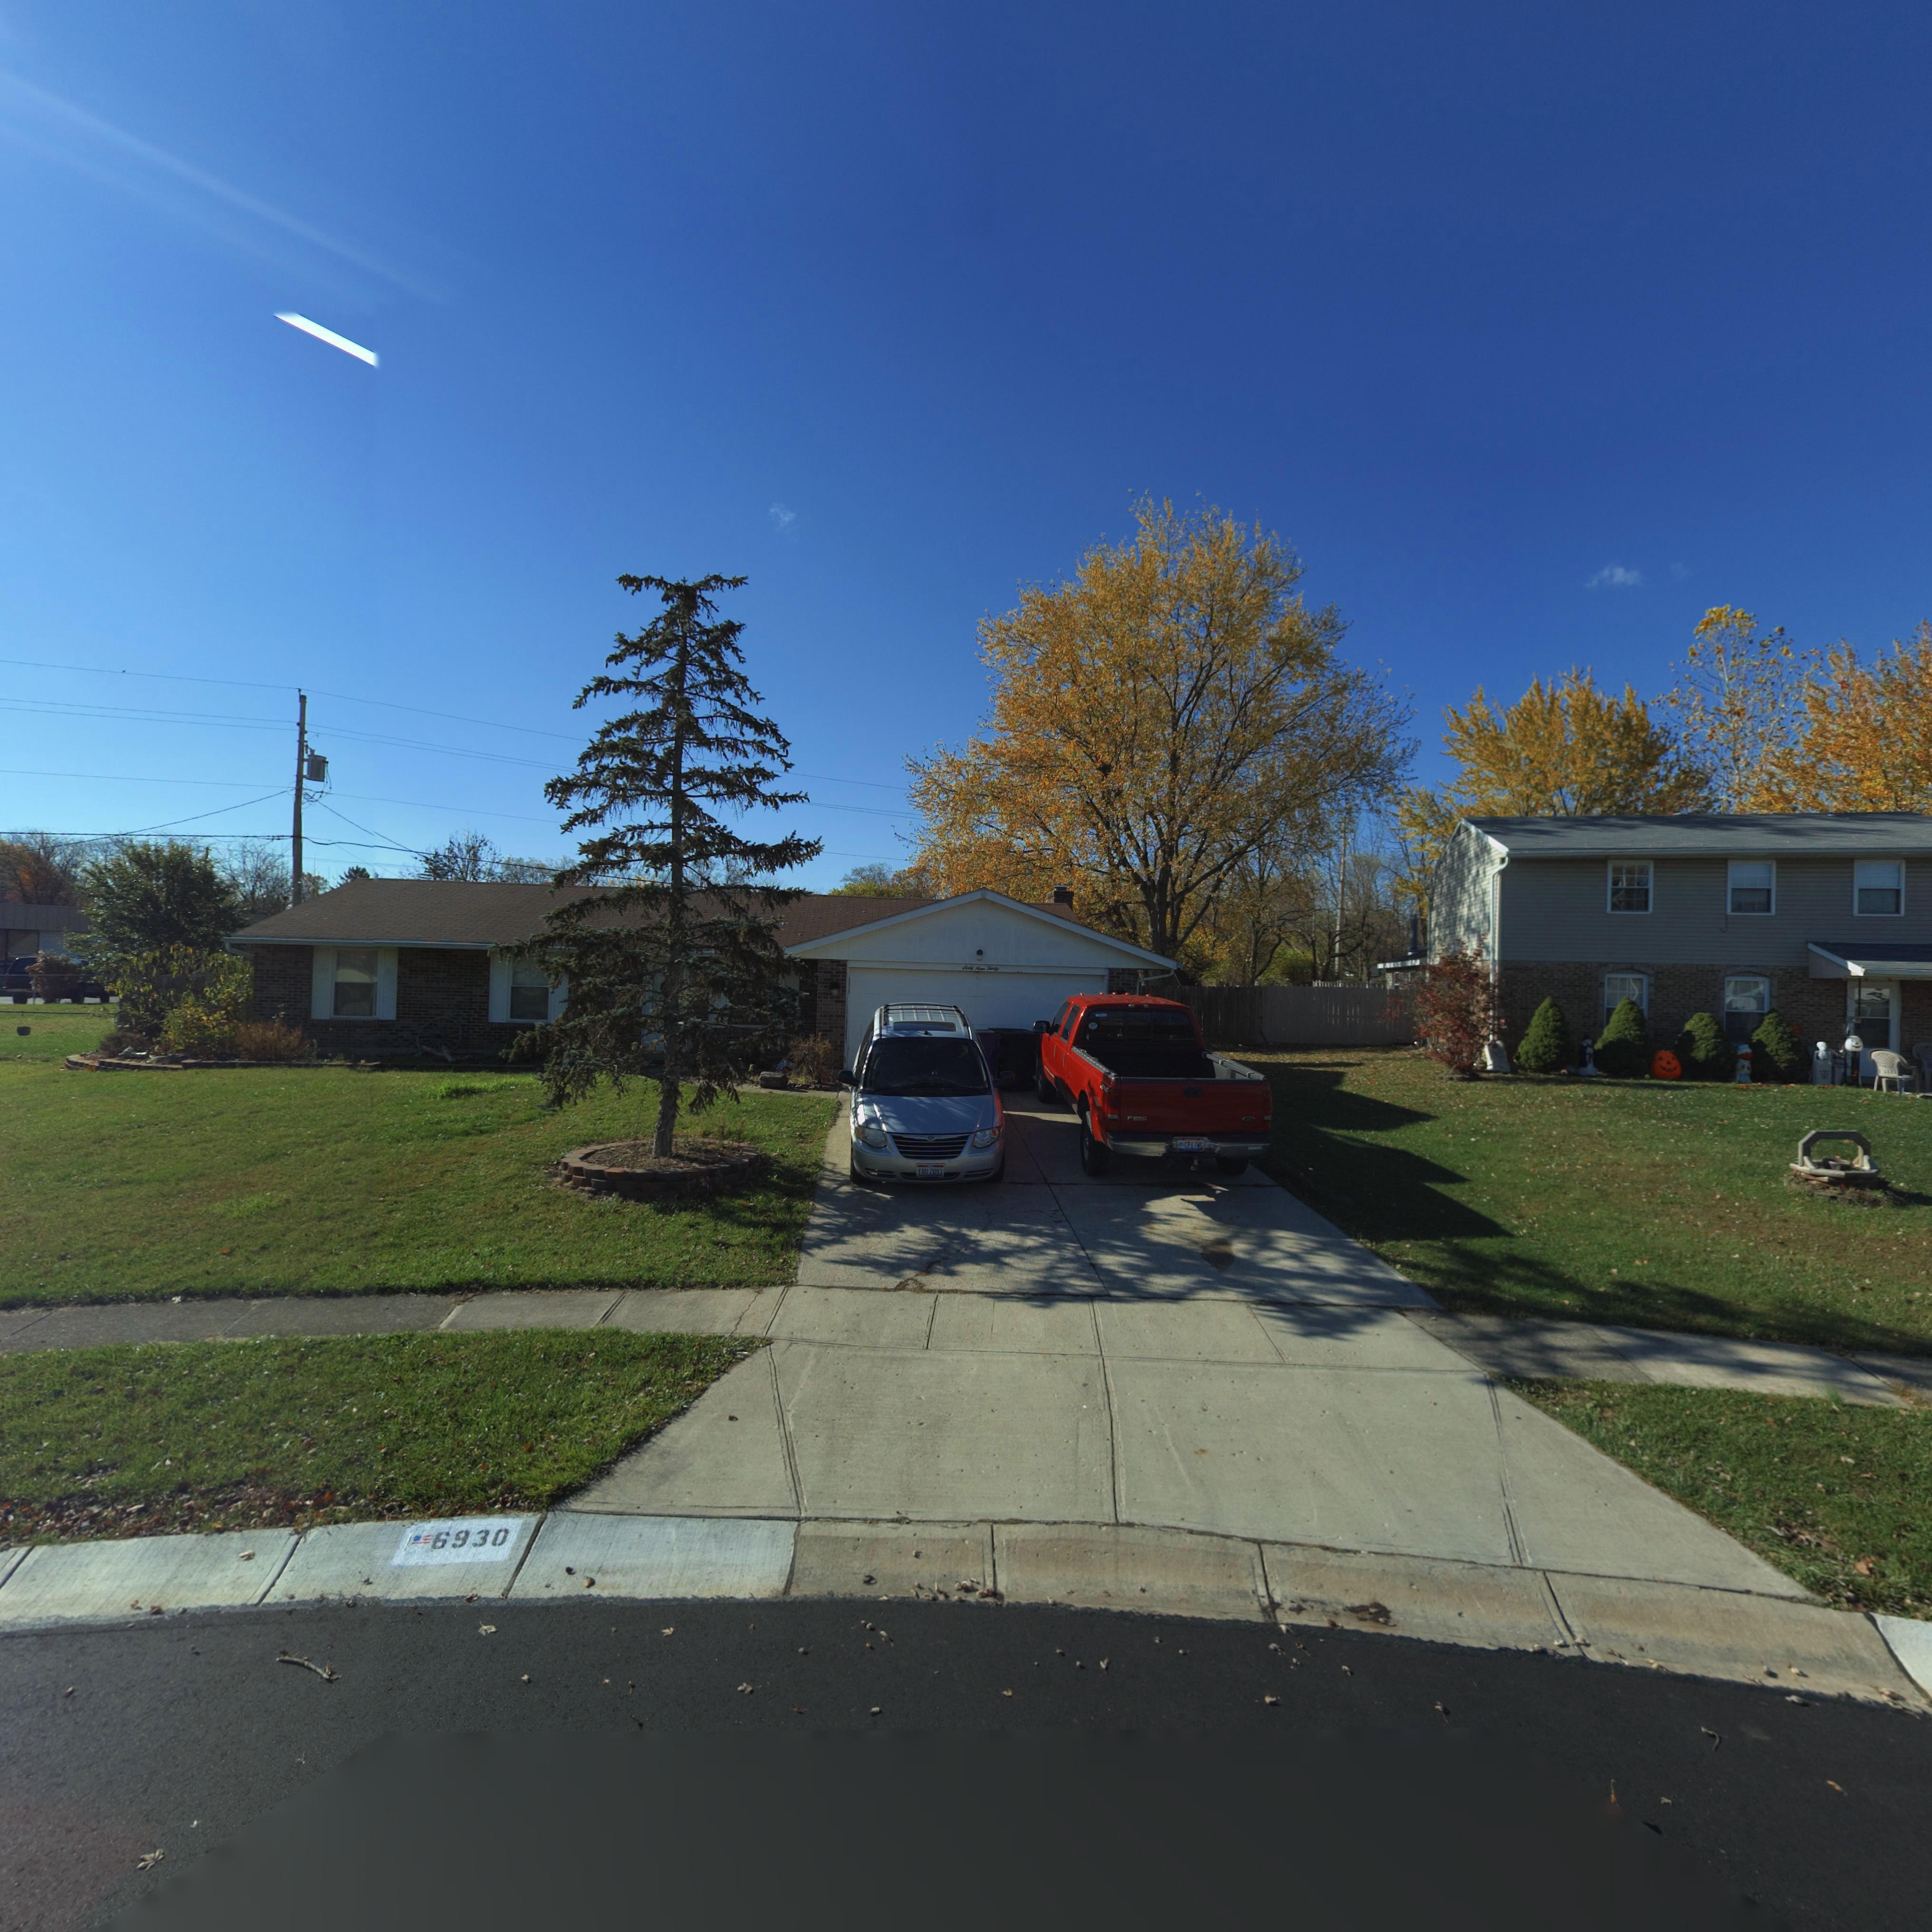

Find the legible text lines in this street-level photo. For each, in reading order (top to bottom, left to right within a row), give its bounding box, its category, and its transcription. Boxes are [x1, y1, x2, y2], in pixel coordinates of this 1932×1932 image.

[962, 965, 1000, 972] StreetNumber: Sixty Nine Thirty
[430, 1527, 510, 1550] StreetNumber: 6930